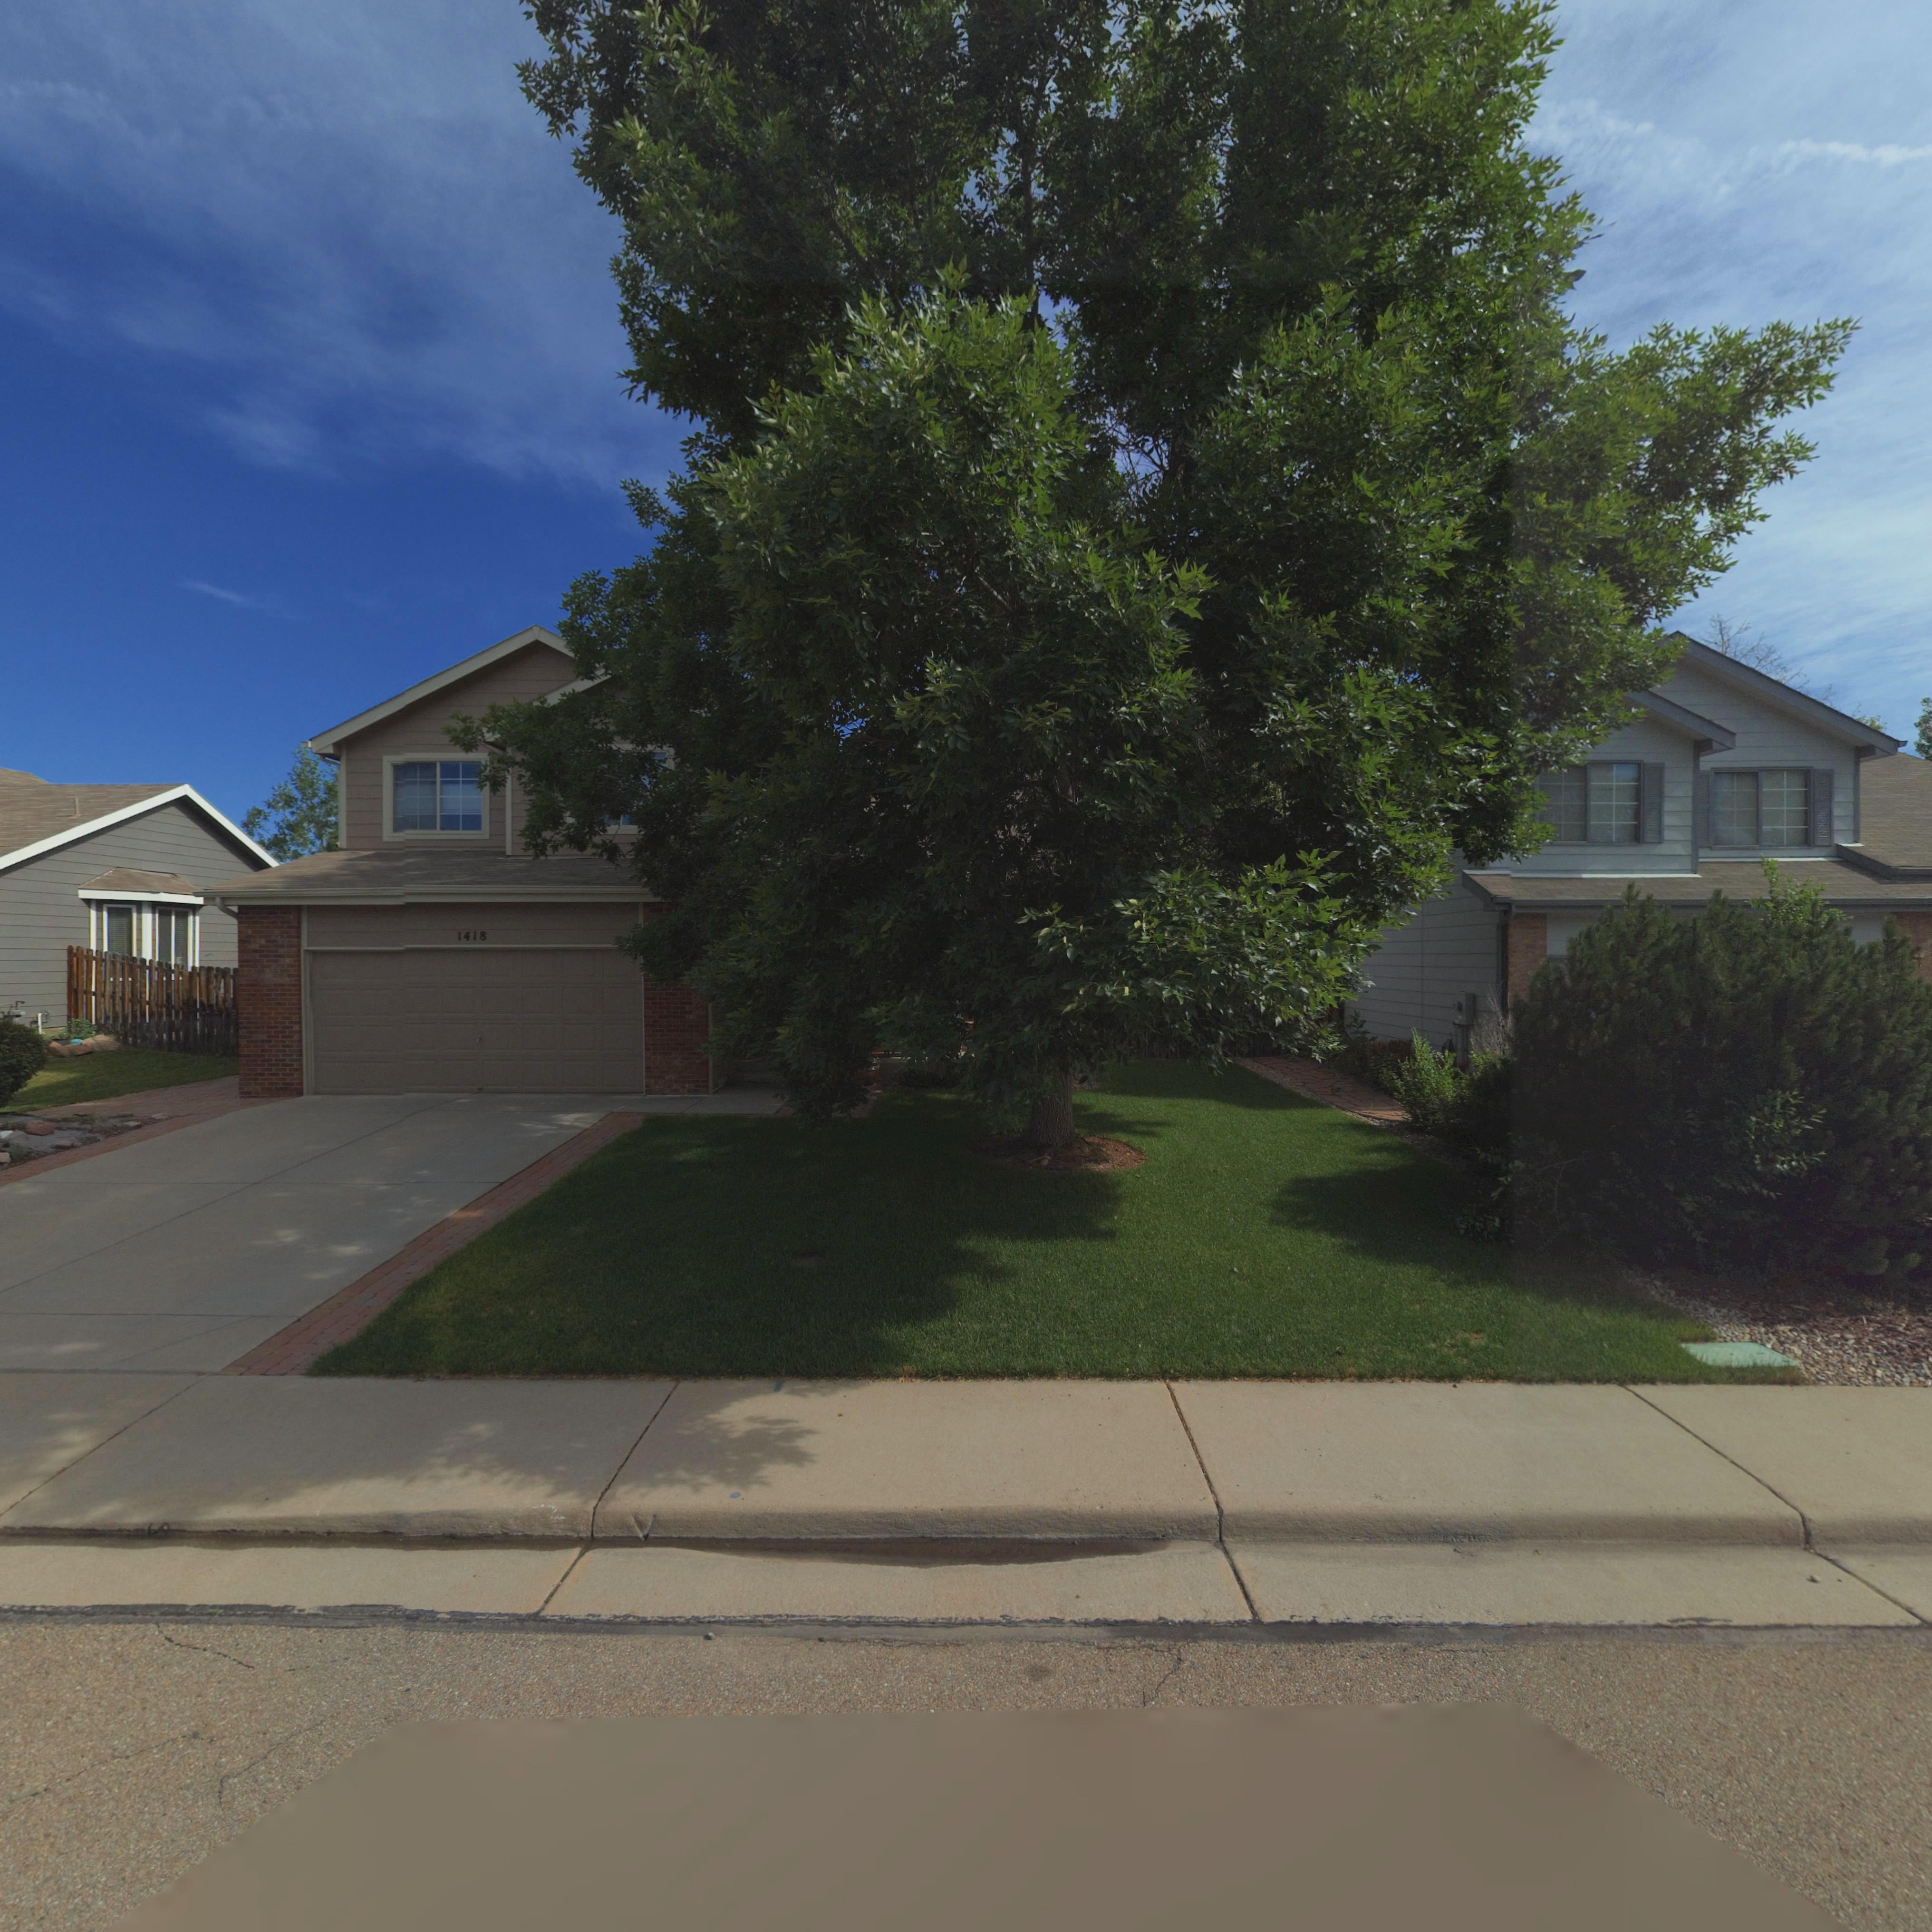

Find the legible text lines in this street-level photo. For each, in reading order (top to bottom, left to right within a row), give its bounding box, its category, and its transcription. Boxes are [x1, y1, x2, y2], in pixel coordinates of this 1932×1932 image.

[457, 930, 487, 941] StreetNumber: 1418